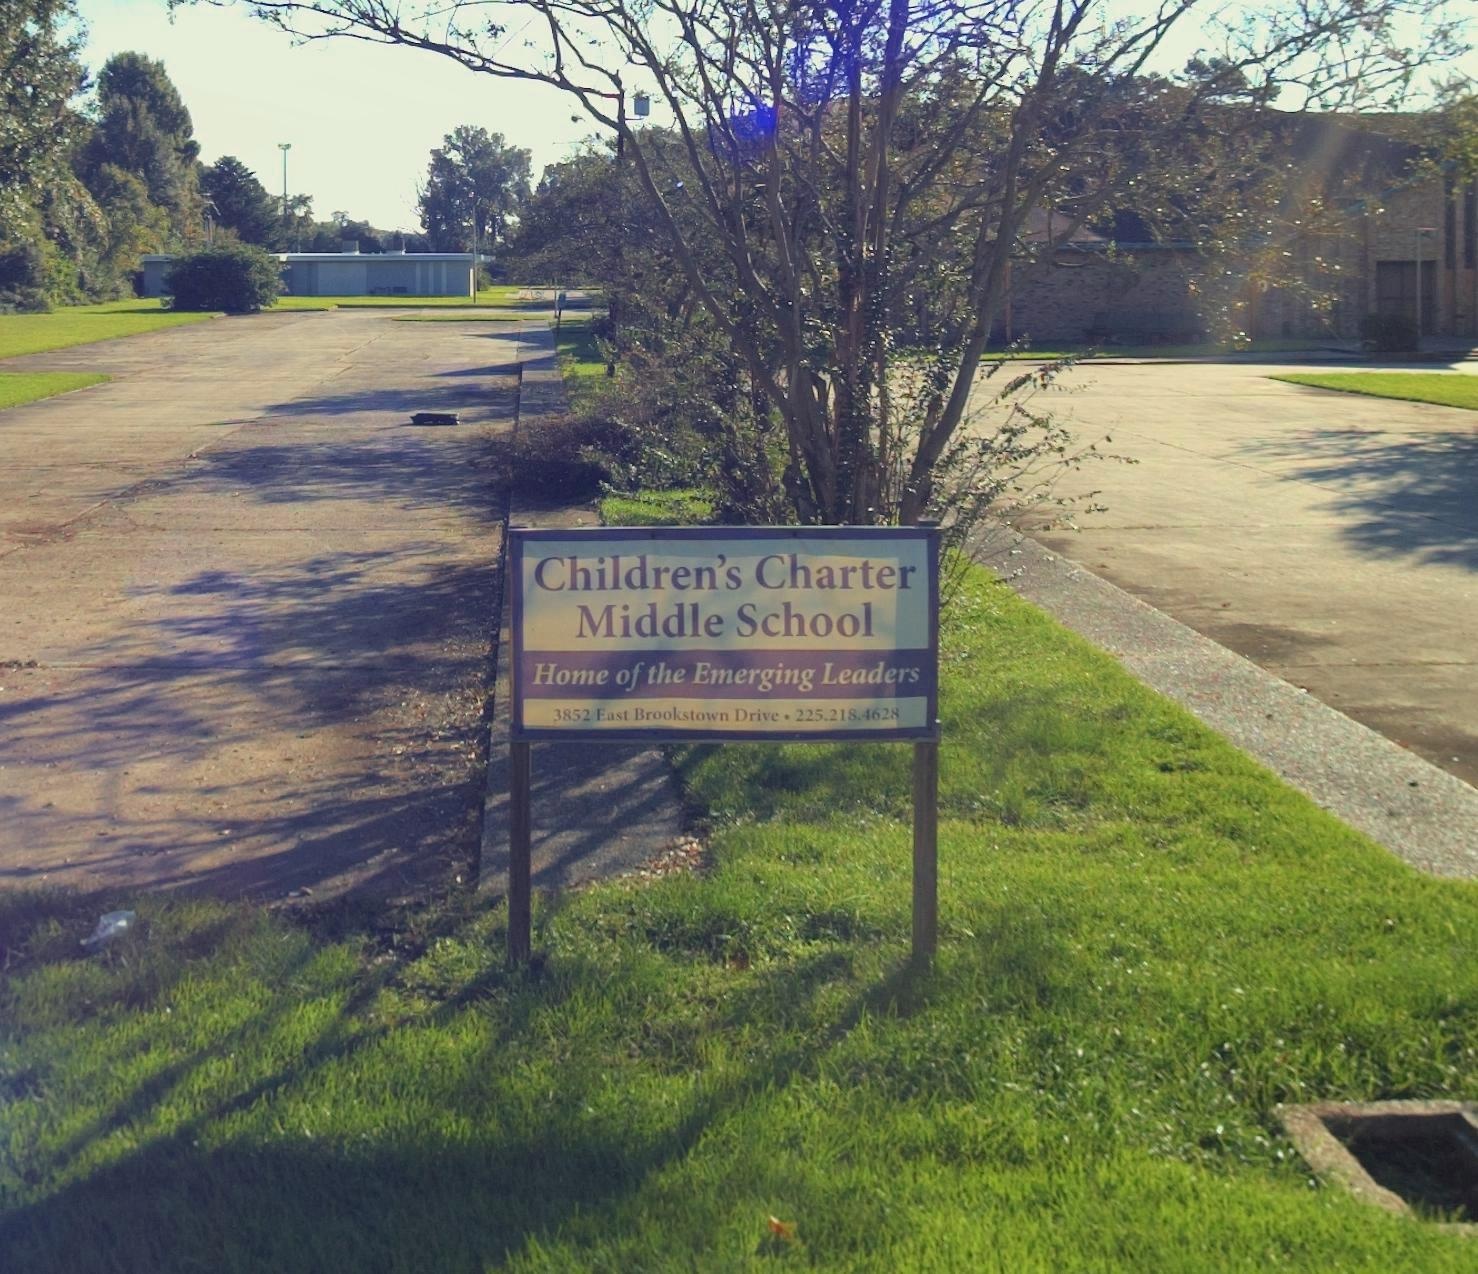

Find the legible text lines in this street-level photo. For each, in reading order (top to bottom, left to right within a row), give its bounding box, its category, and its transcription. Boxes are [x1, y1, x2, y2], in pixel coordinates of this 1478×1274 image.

[531, 550, 919, 594] BusinessName: Children's Charter
[572, 598, 878, 640] BusinessName: Middle School
[529, 659, 928, 697] None: Home of the Emerging Leaders
[550, 706, 594, 725] StreetNumber: 3852
[593, 705, 782, 726] StreetName: East Brookstown Drive
[793, 704, 903, 725] None: 225.218.4628